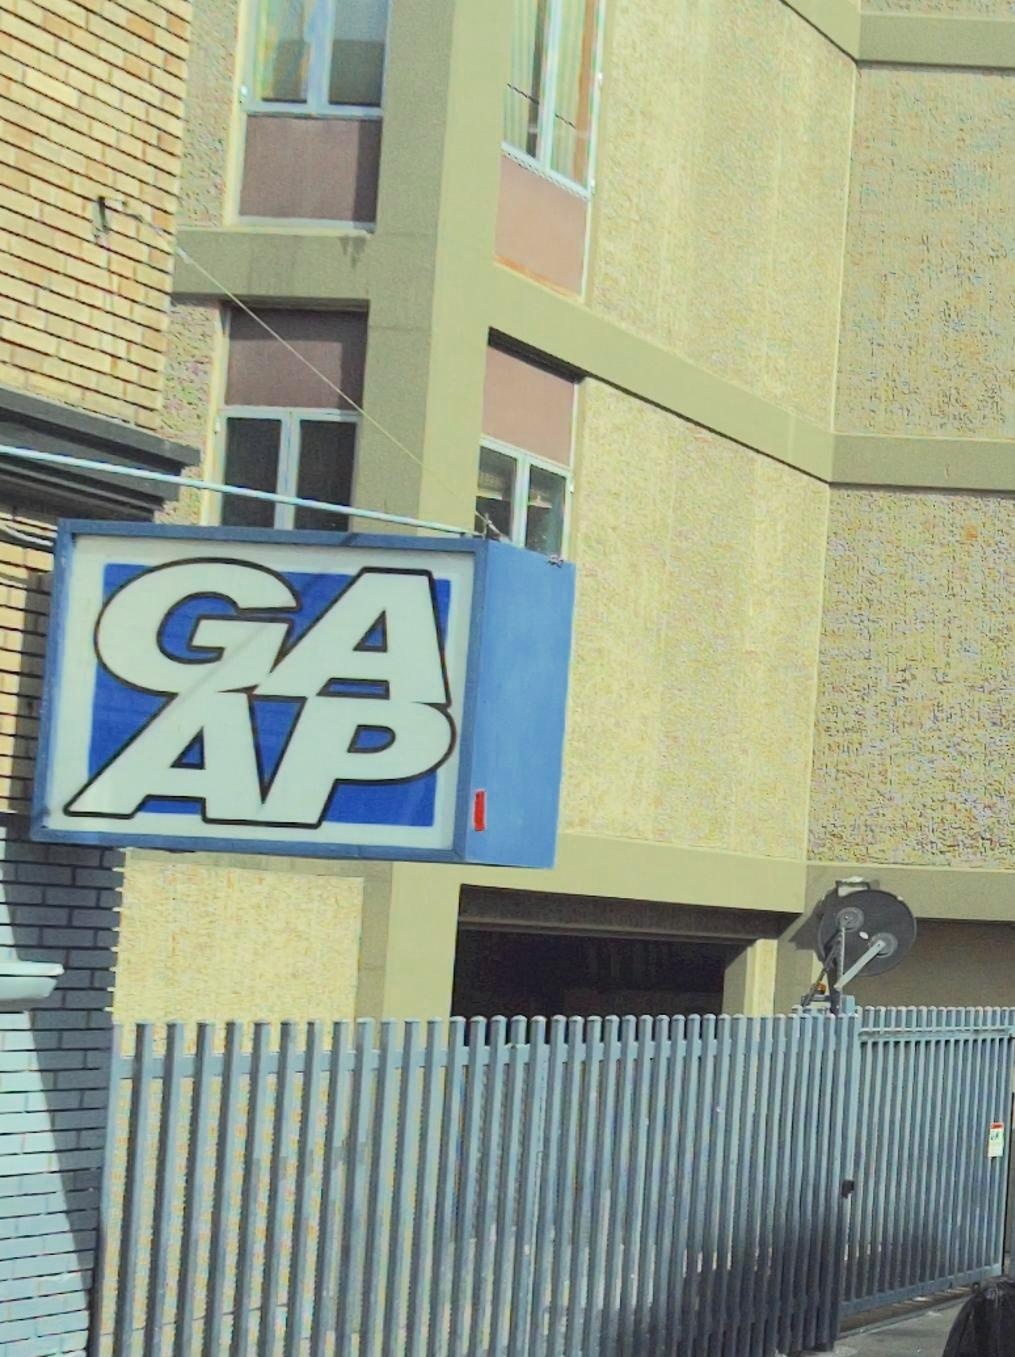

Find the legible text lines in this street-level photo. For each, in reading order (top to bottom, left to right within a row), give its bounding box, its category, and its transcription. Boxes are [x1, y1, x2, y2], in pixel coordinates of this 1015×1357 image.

[91, 558, 449, 708] BusinessName: GA
[62, 689, 458, 826] BusinessName: AP